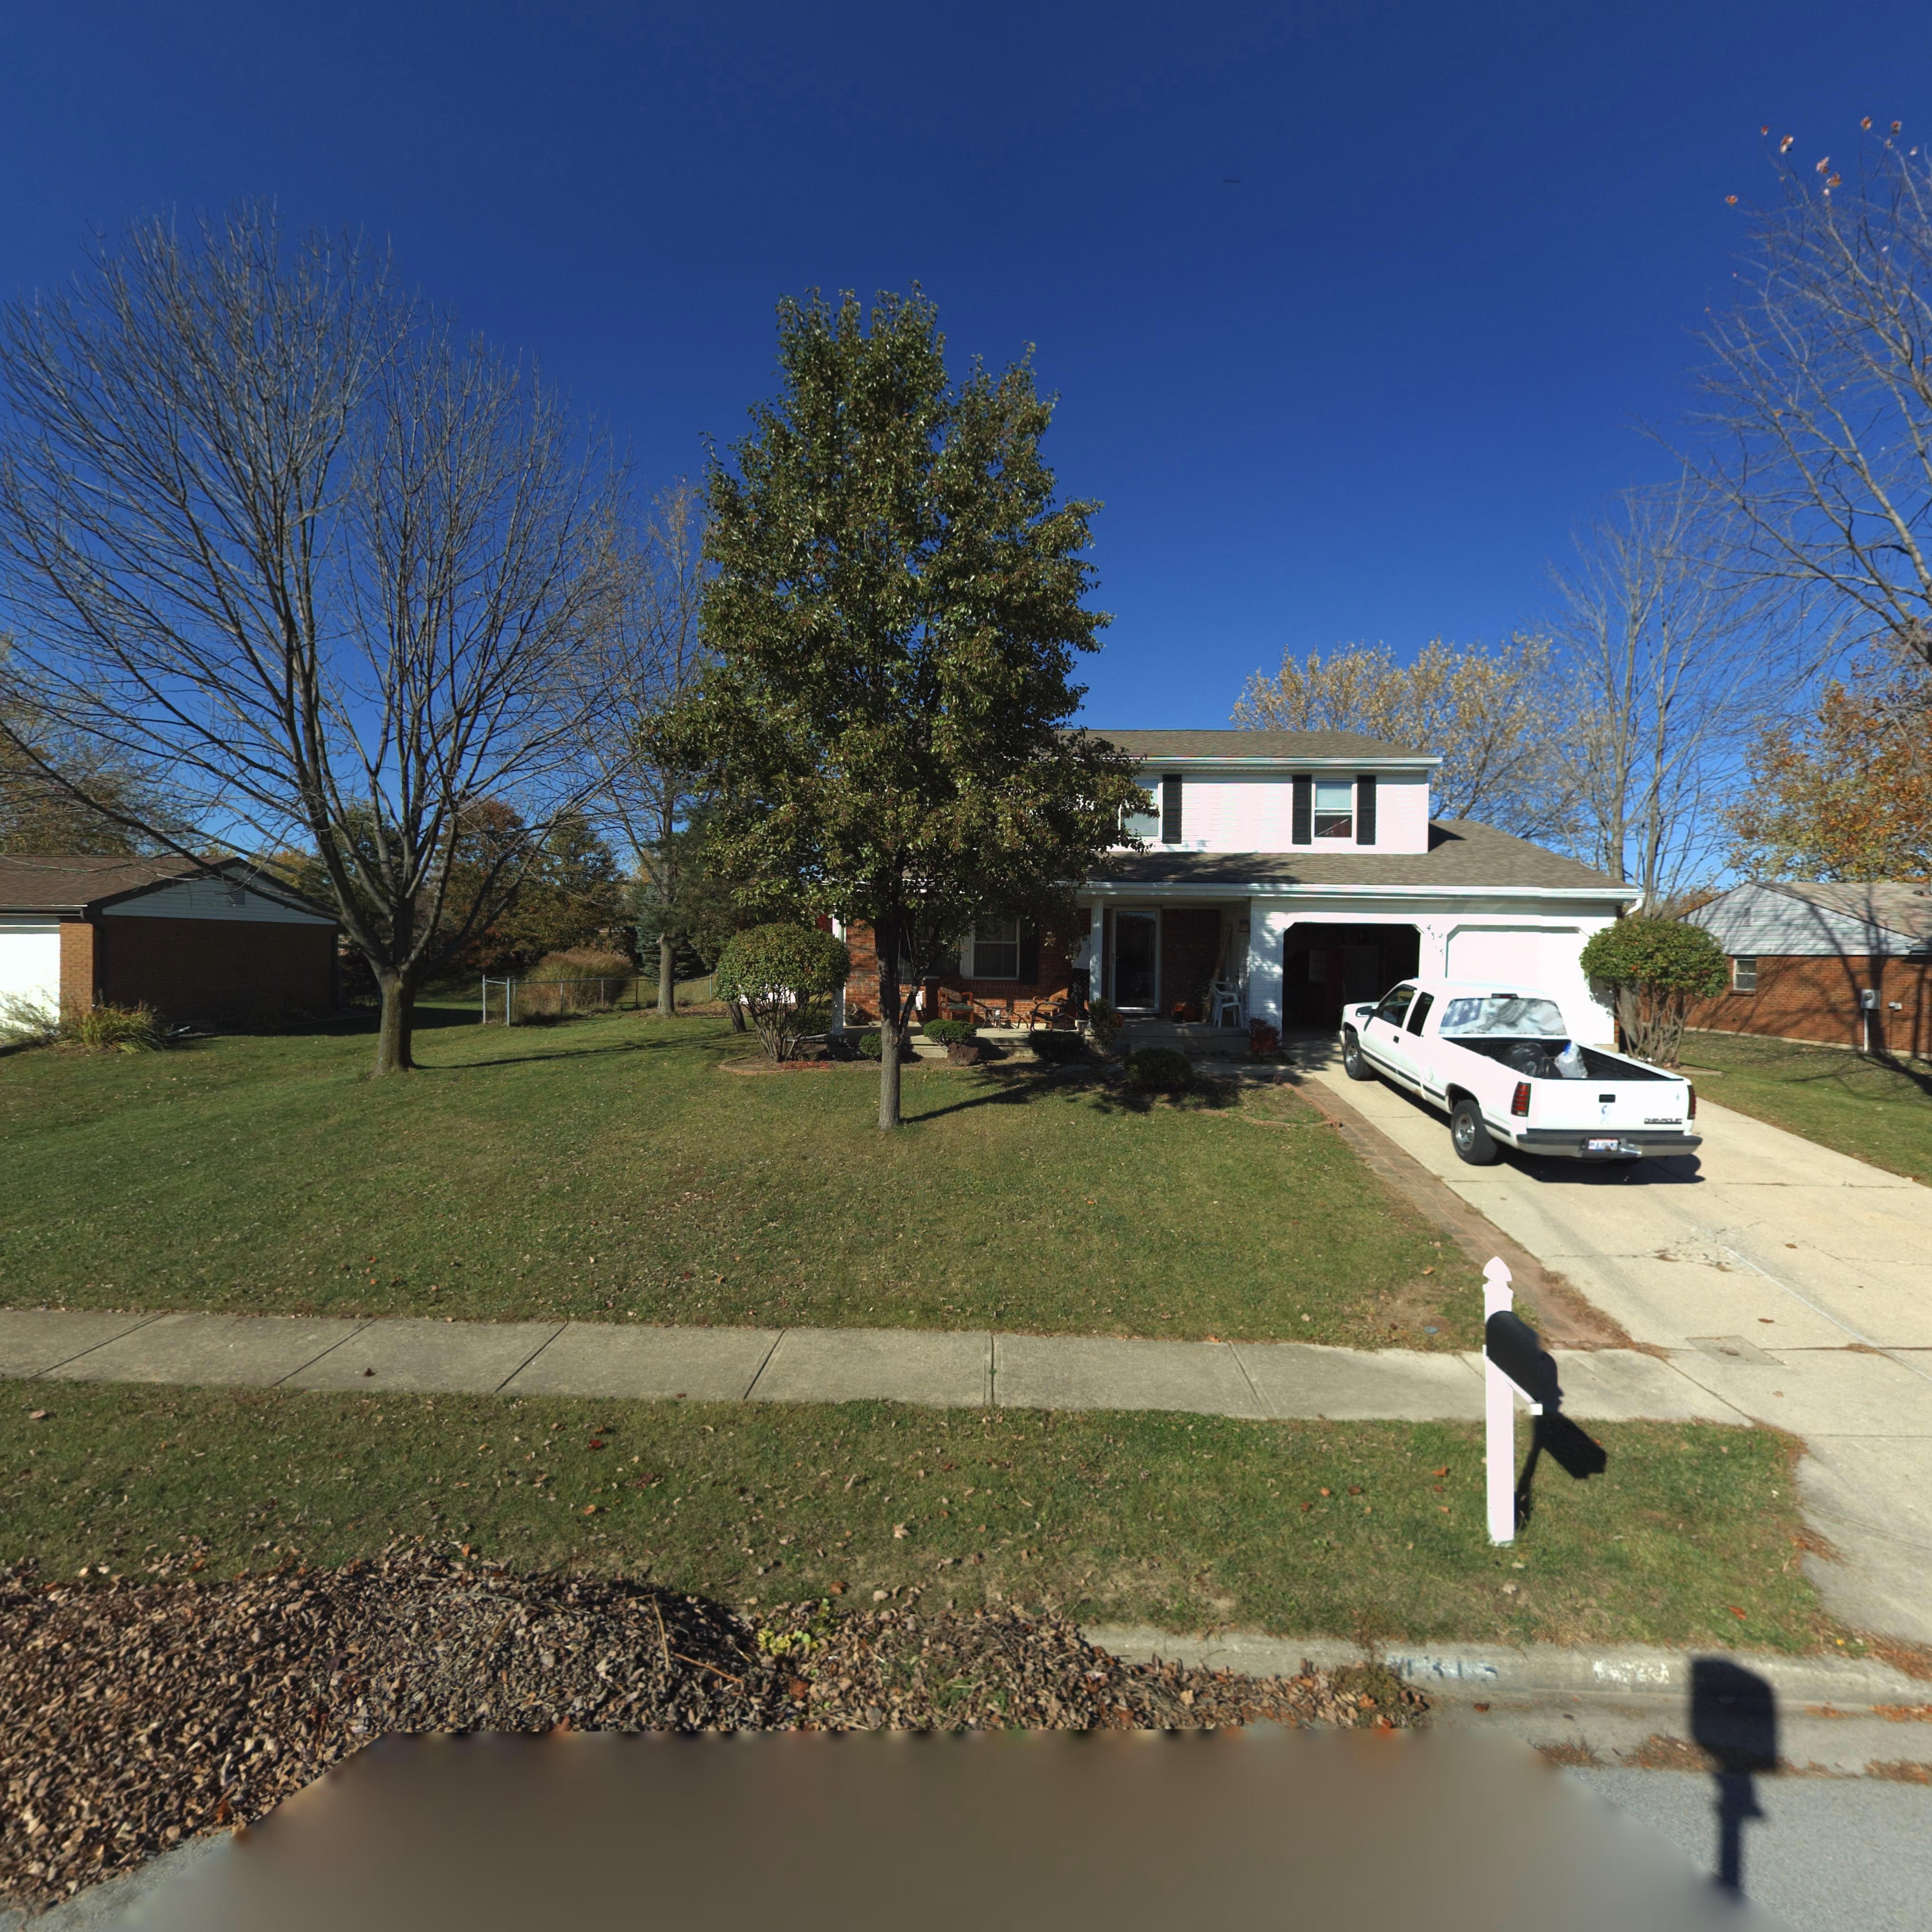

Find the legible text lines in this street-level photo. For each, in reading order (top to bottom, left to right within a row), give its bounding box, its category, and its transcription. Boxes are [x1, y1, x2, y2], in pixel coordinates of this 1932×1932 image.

[1426, 923, 1444, 958] StreetNumber: 4315
[1394, 1653, 1466, 1684] StreetNumber: 431